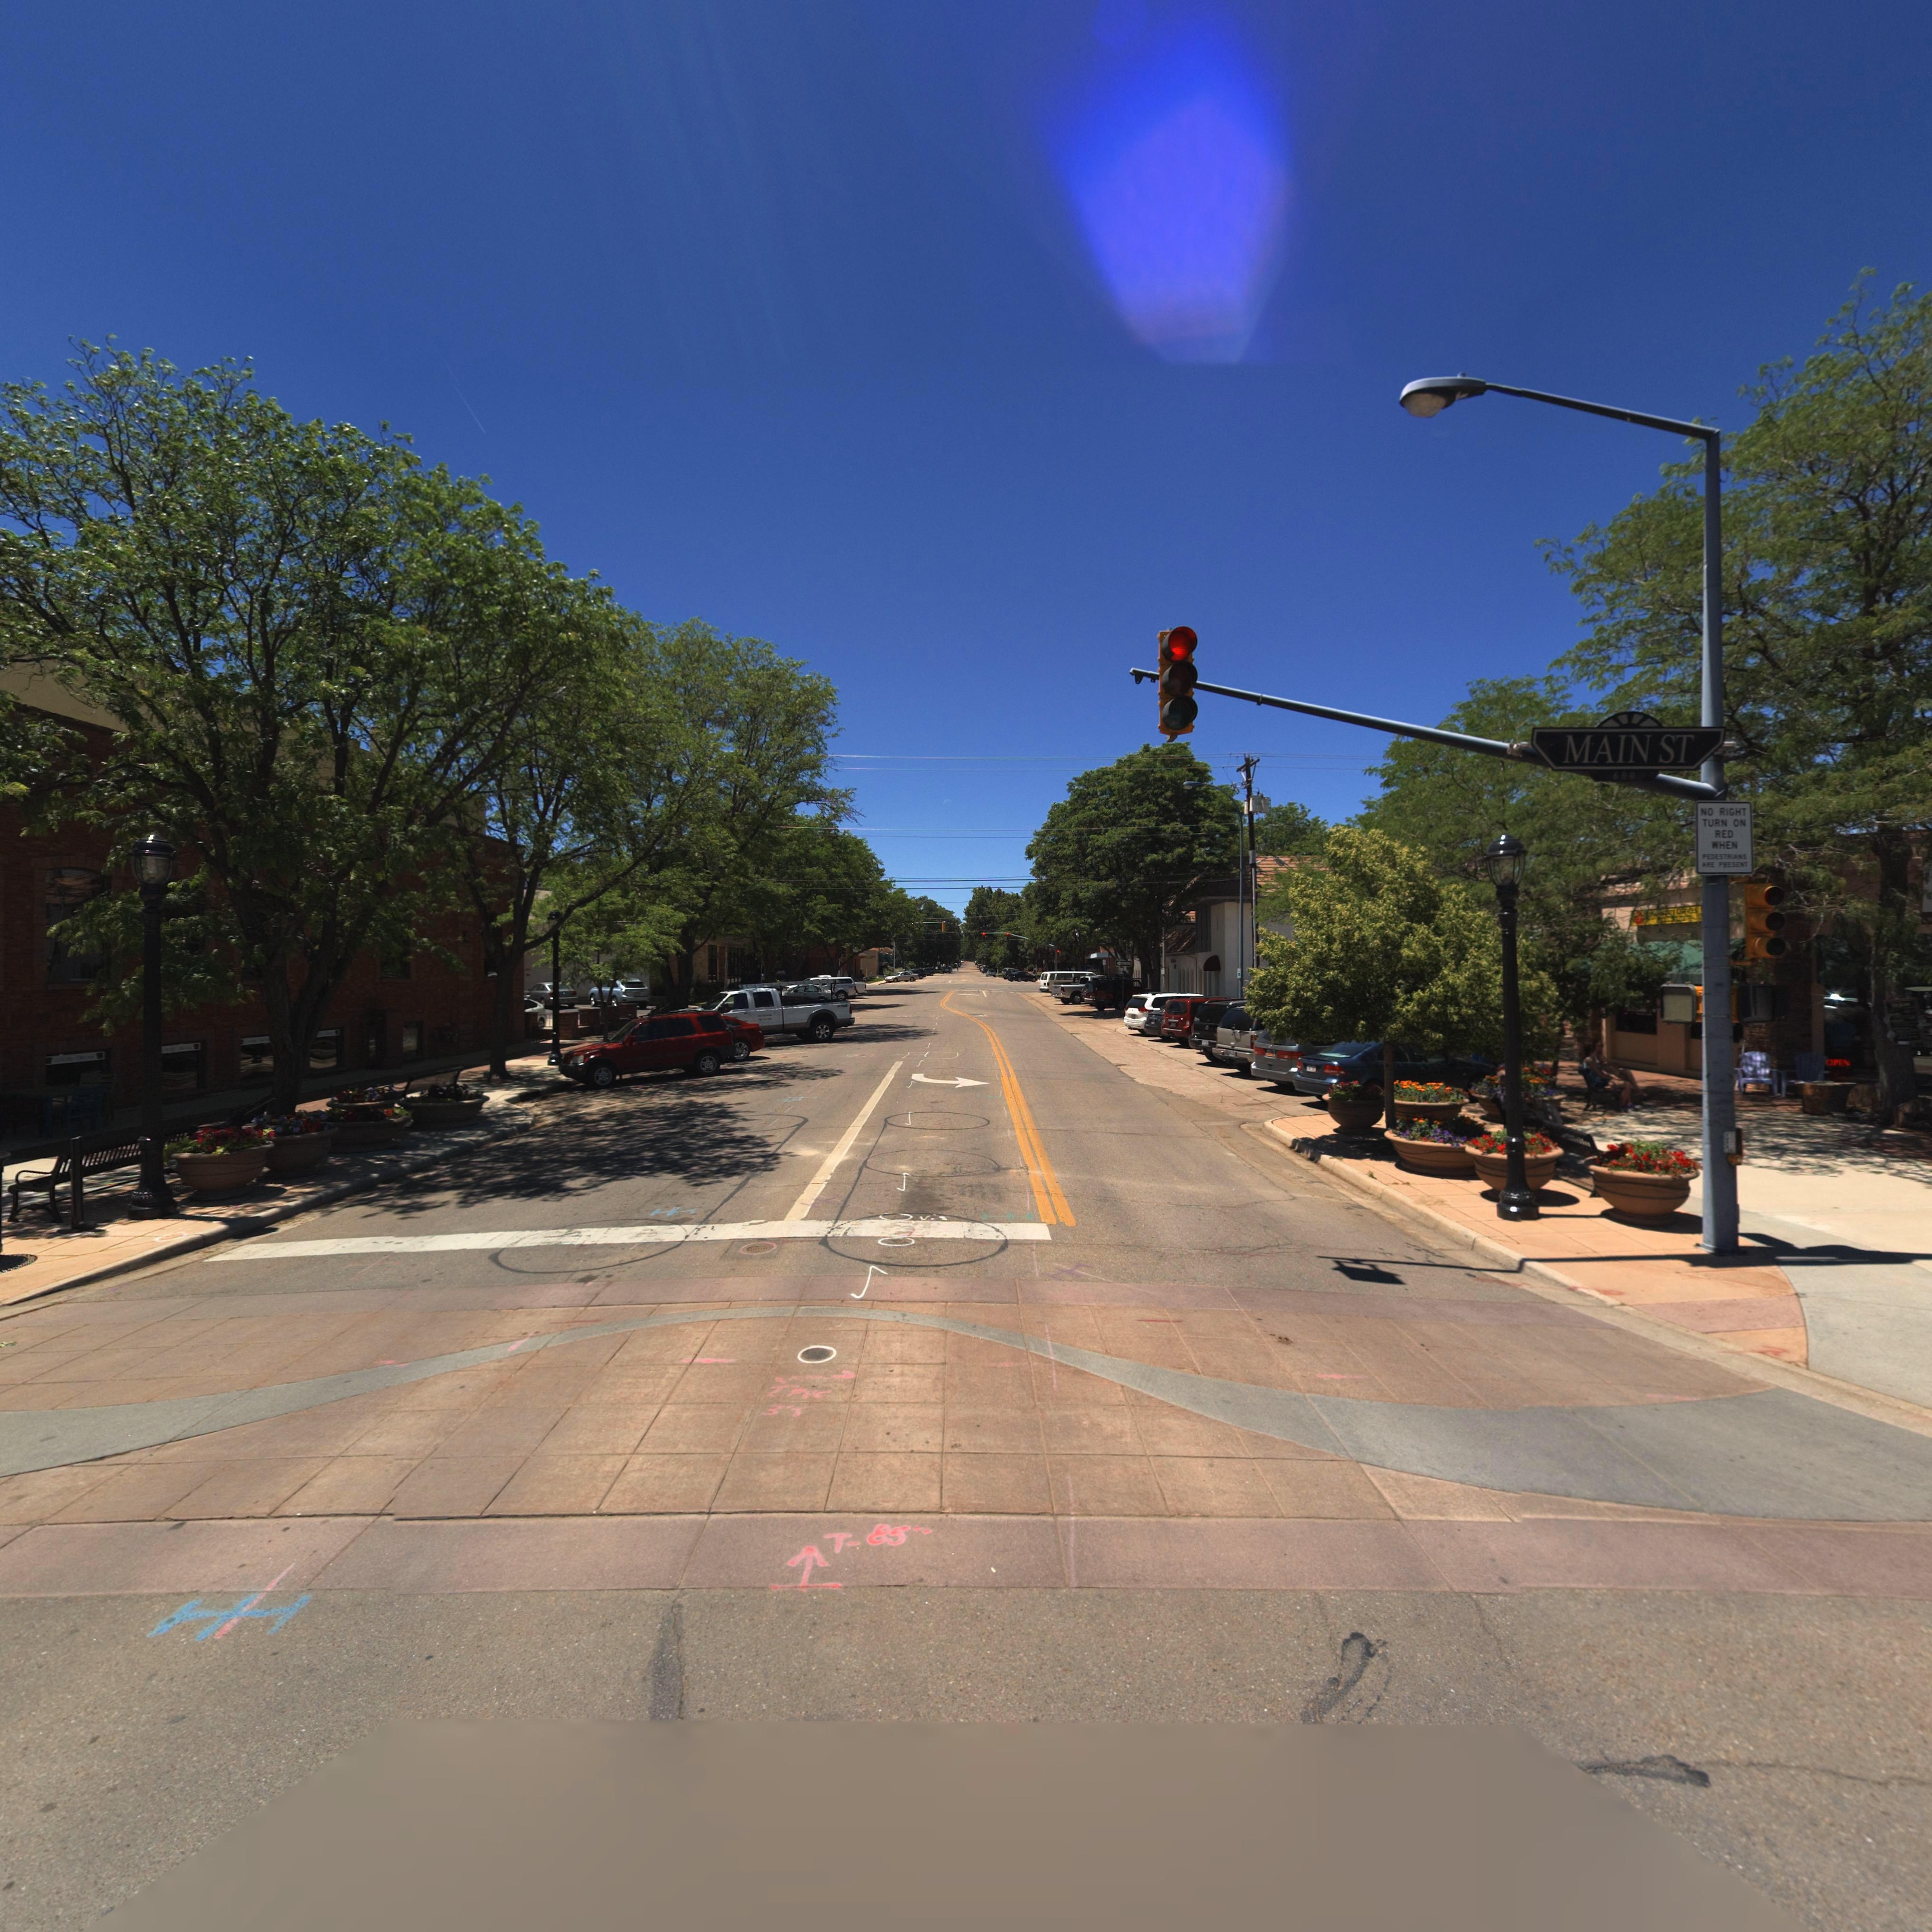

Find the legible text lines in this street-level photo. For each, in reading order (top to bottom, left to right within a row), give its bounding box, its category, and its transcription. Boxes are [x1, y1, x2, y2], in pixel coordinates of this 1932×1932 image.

[1561, 733, 1696, 764] StreetName: MAIN ST
[1612, 771, 1636, 780] StreetNumberRange: 600